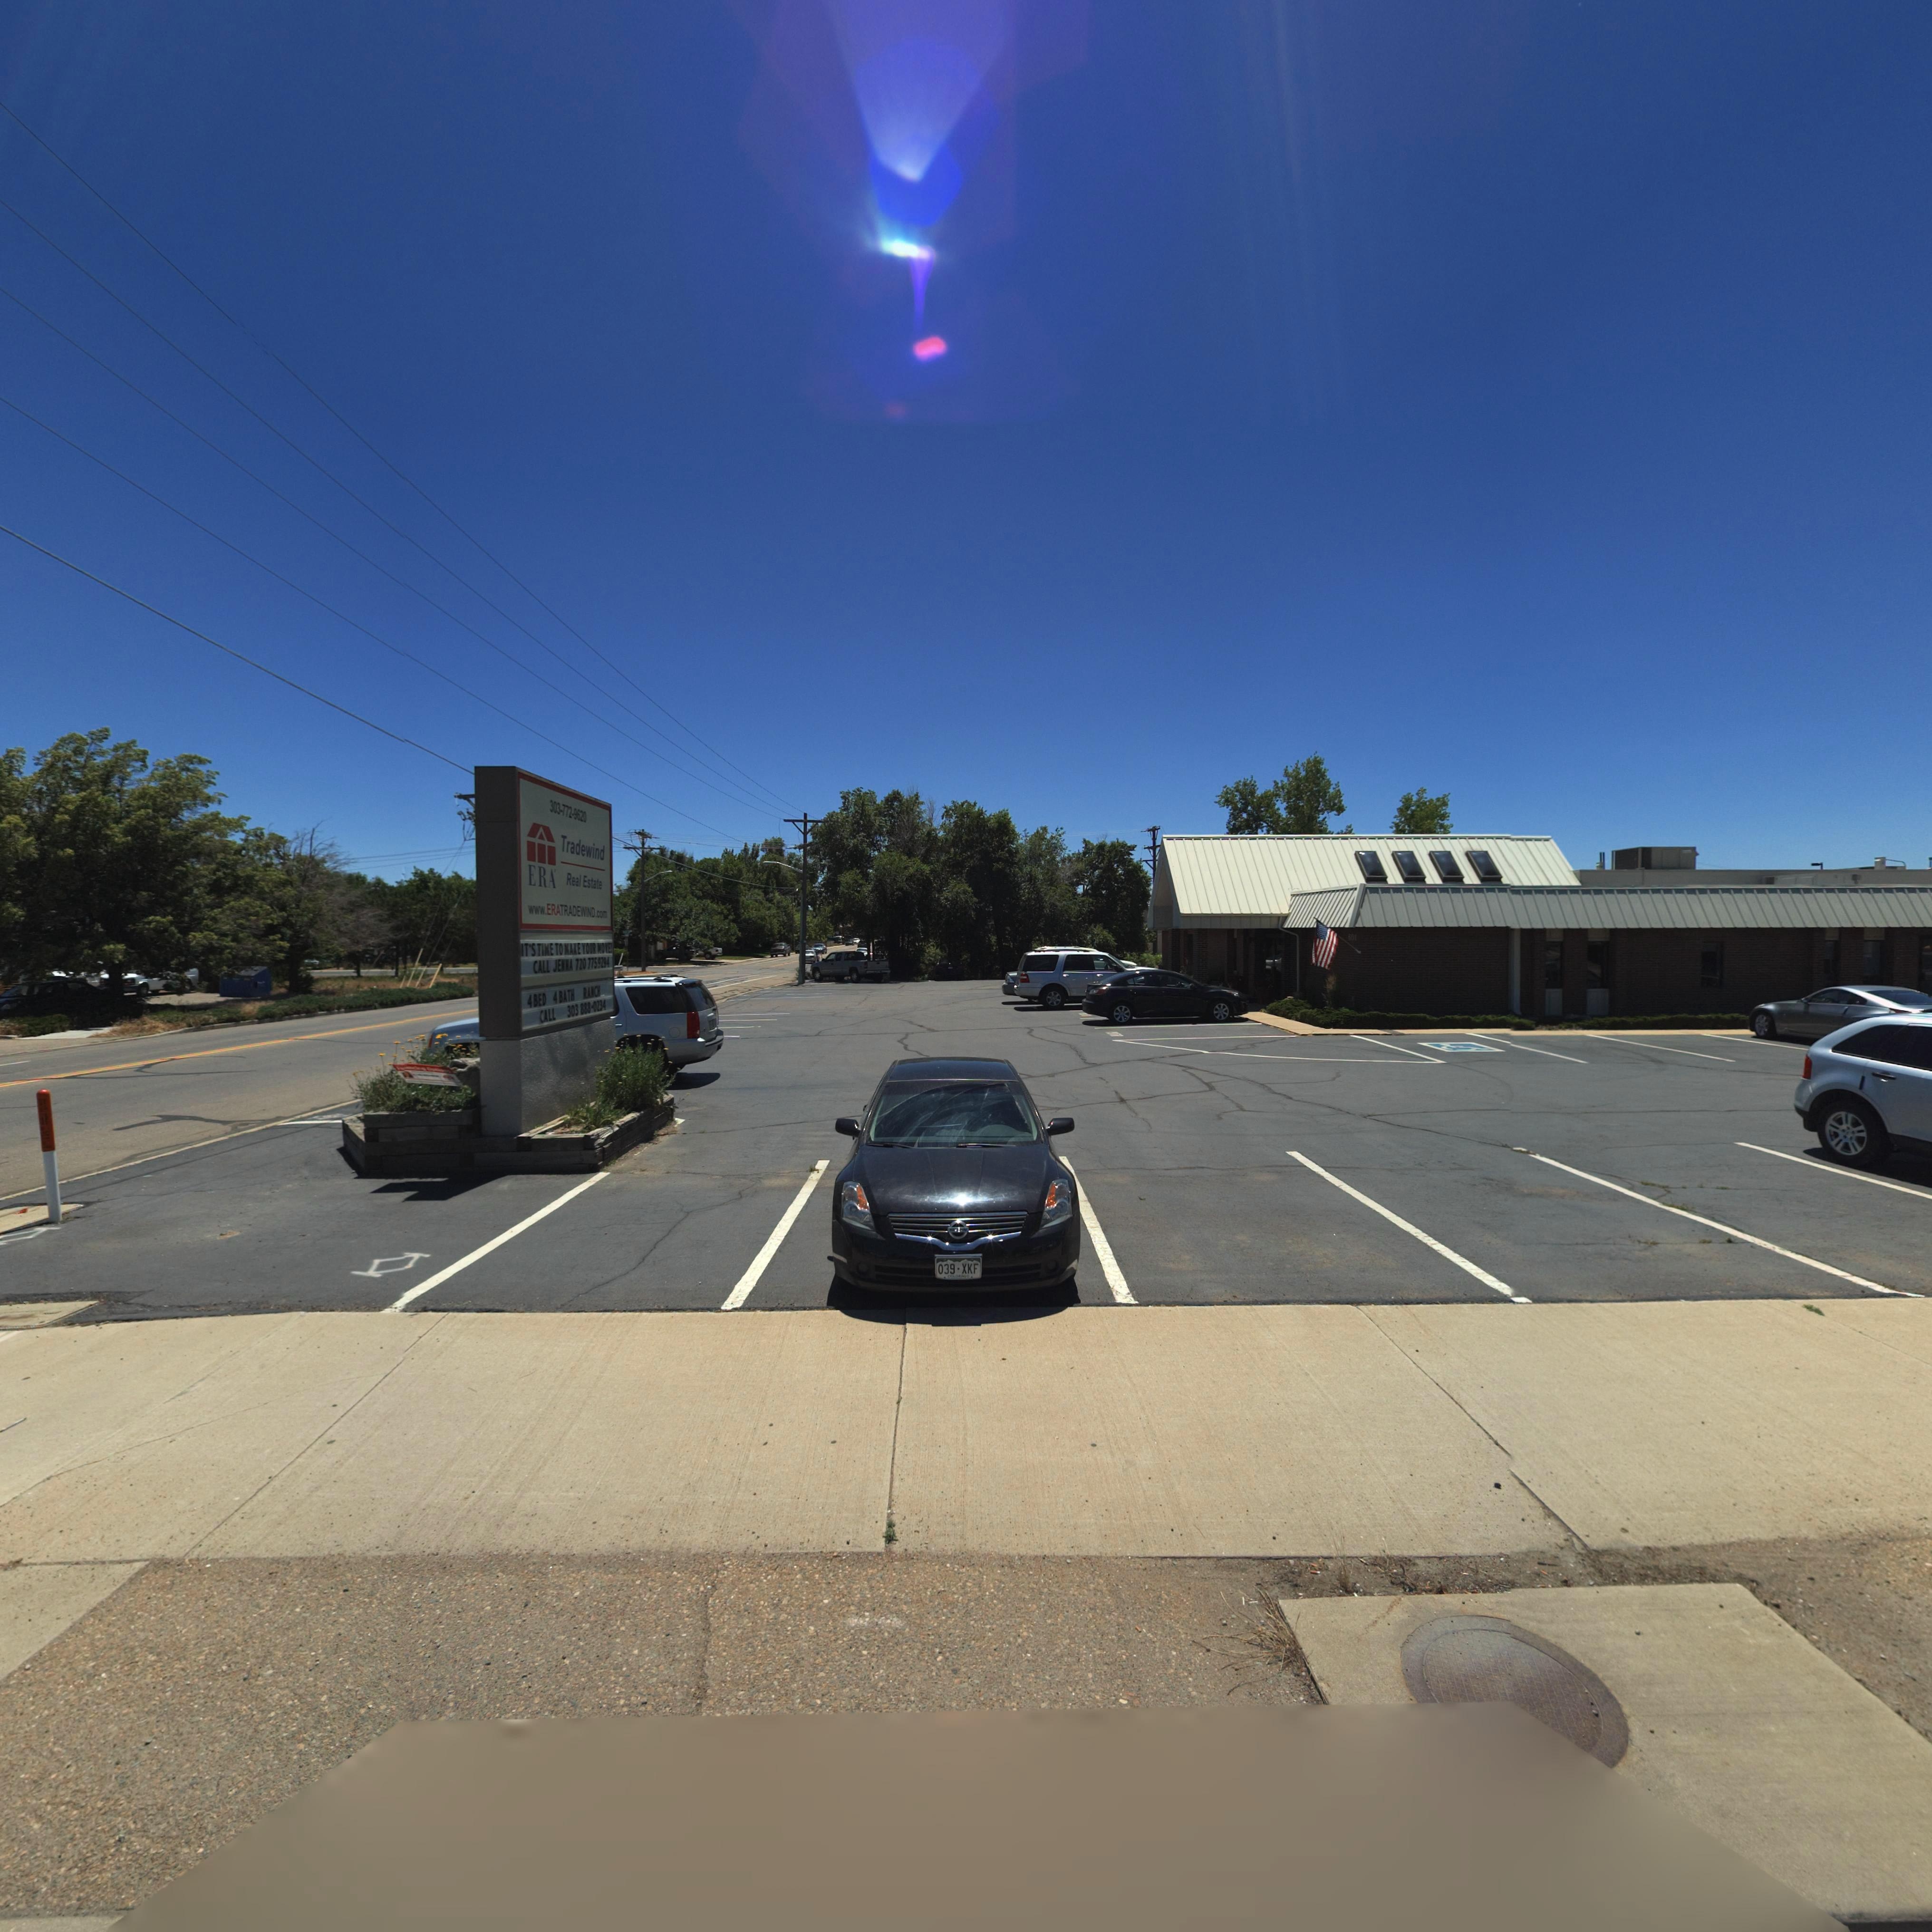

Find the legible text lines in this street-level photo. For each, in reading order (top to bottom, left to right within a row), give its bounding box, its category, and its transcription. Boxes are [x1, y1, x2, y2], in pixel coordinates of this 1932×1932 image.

[560, 833, 606, 861] BusinessName: Tradewind
[528, 864, 557, 889] BusinessName: ERA
[566, 872, 603, 890] BusinessName: Real Estate